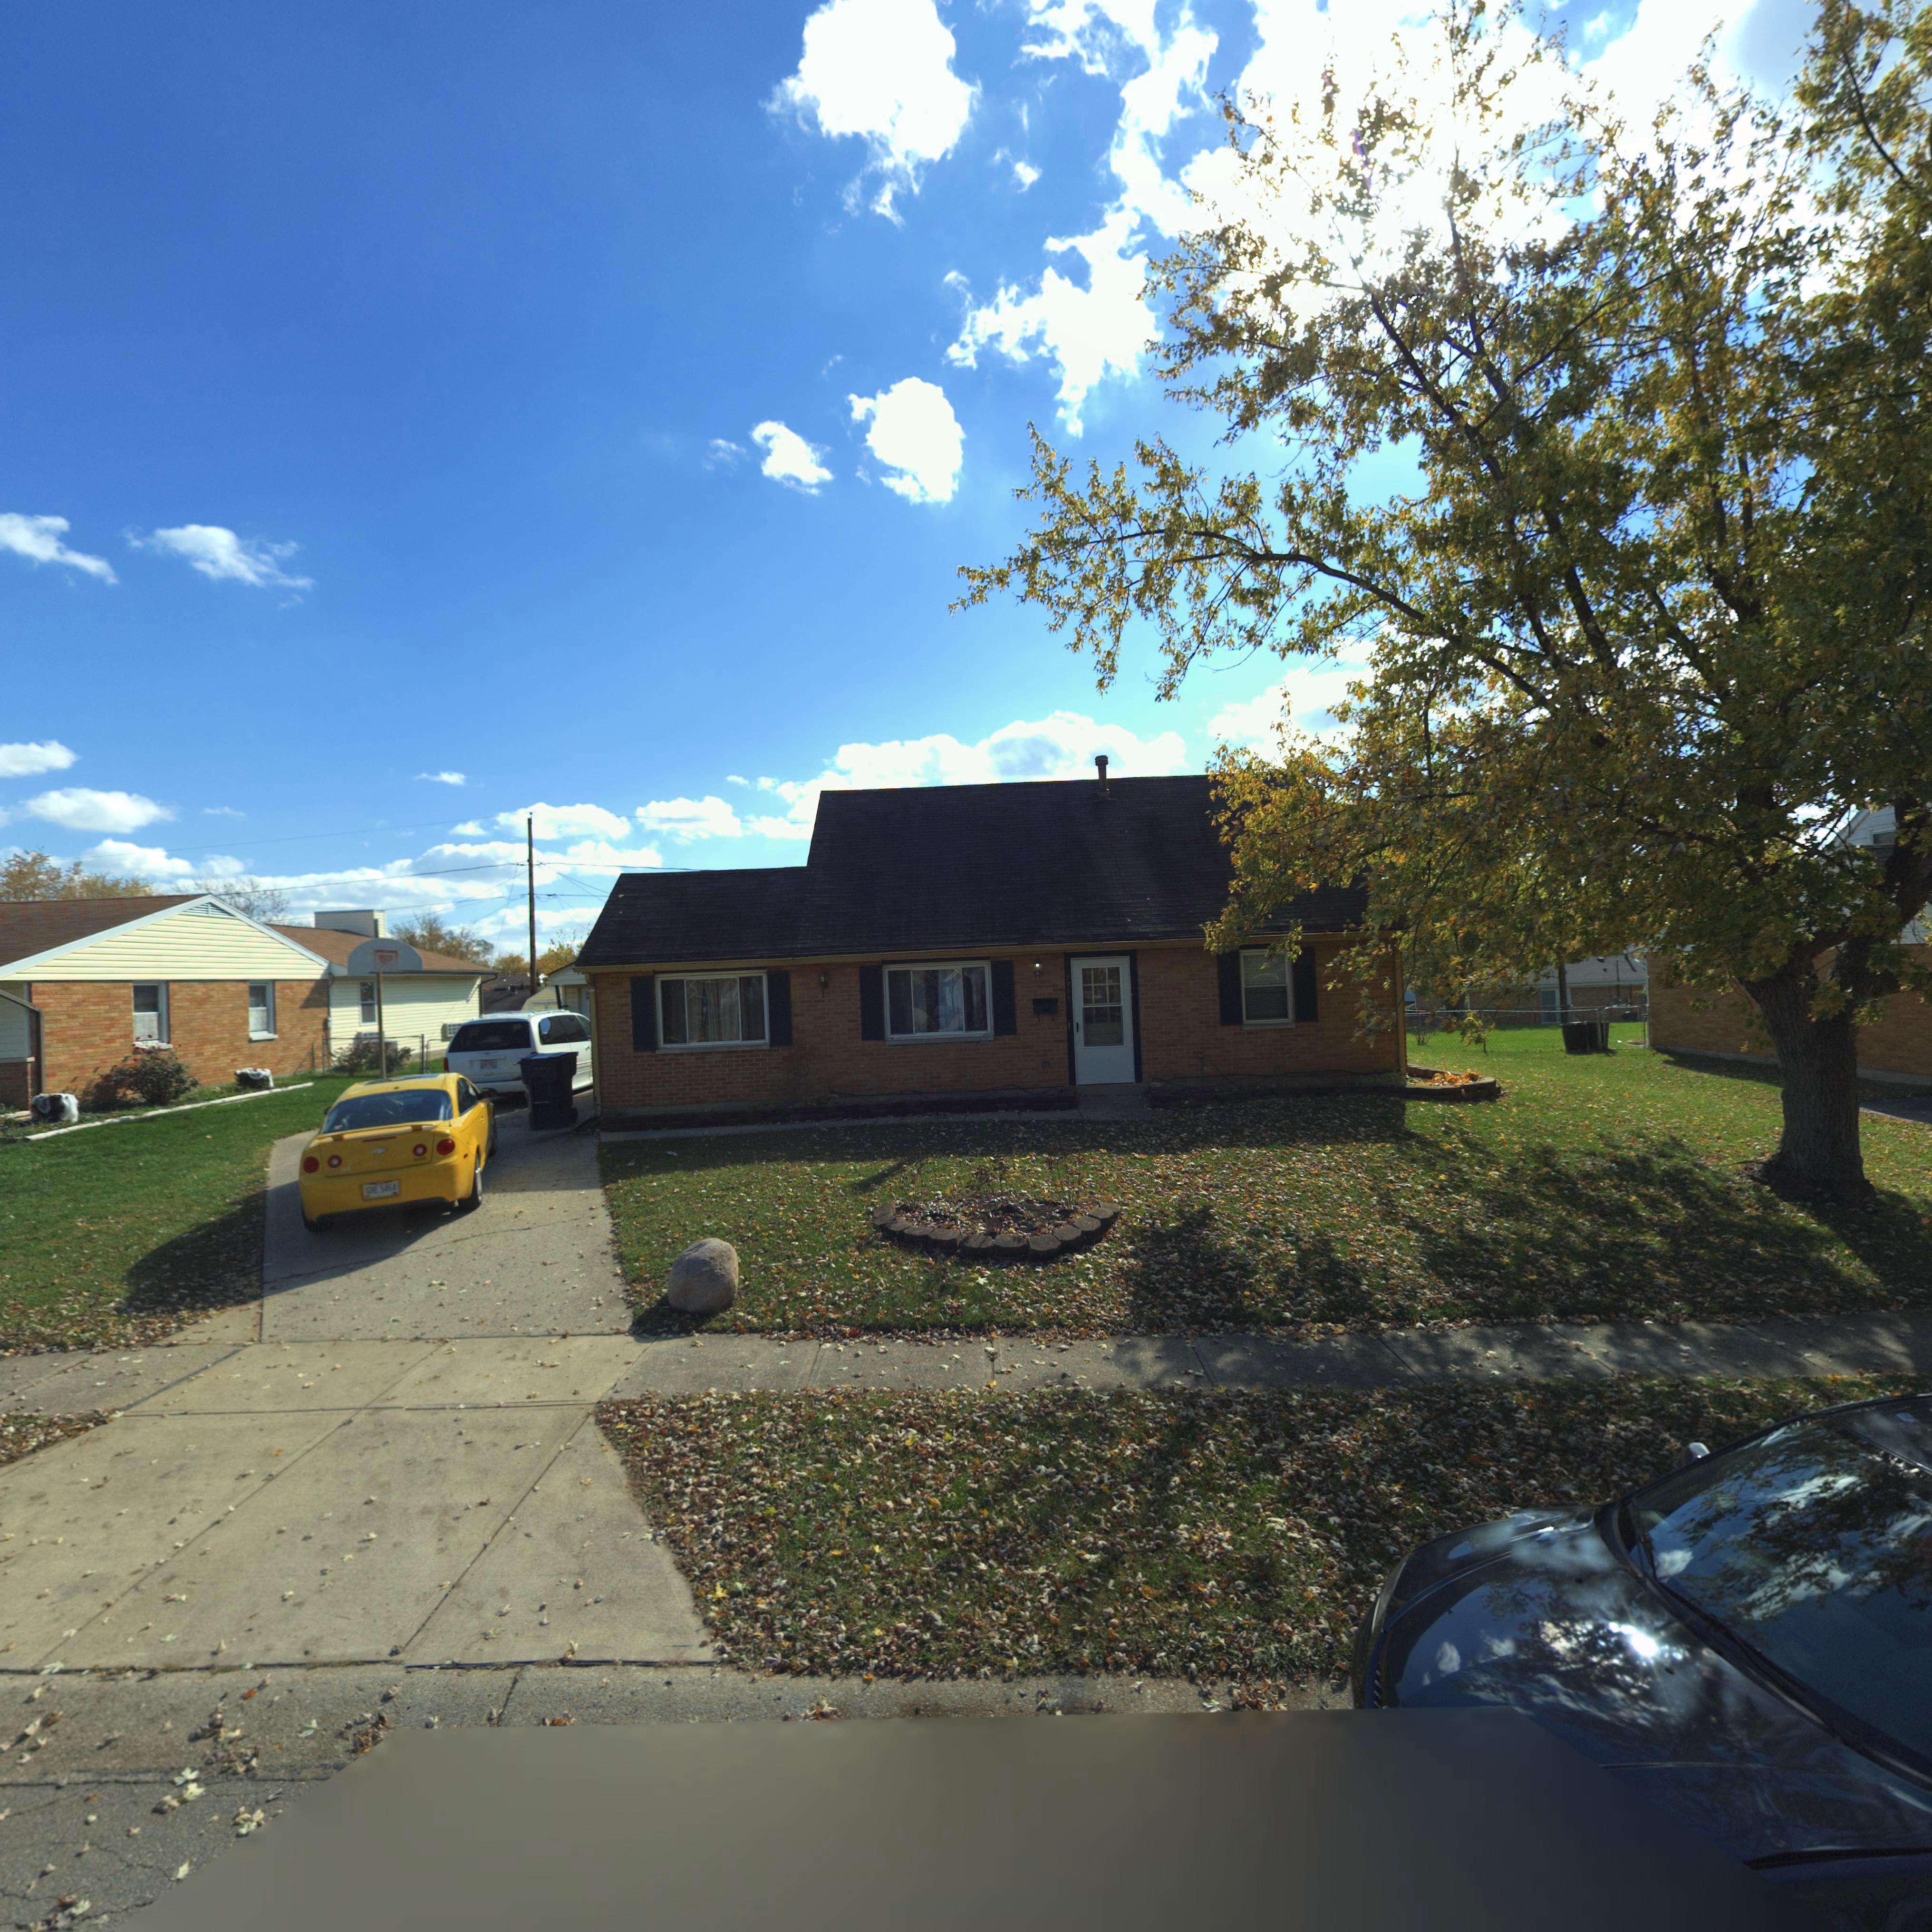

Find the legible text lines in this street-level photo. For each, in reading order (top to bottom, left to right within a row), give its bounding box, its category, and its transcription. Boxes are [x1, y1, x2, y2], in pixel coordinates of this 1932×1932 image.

[1065, 974, 1072, 1001] StreetNumber: 7754